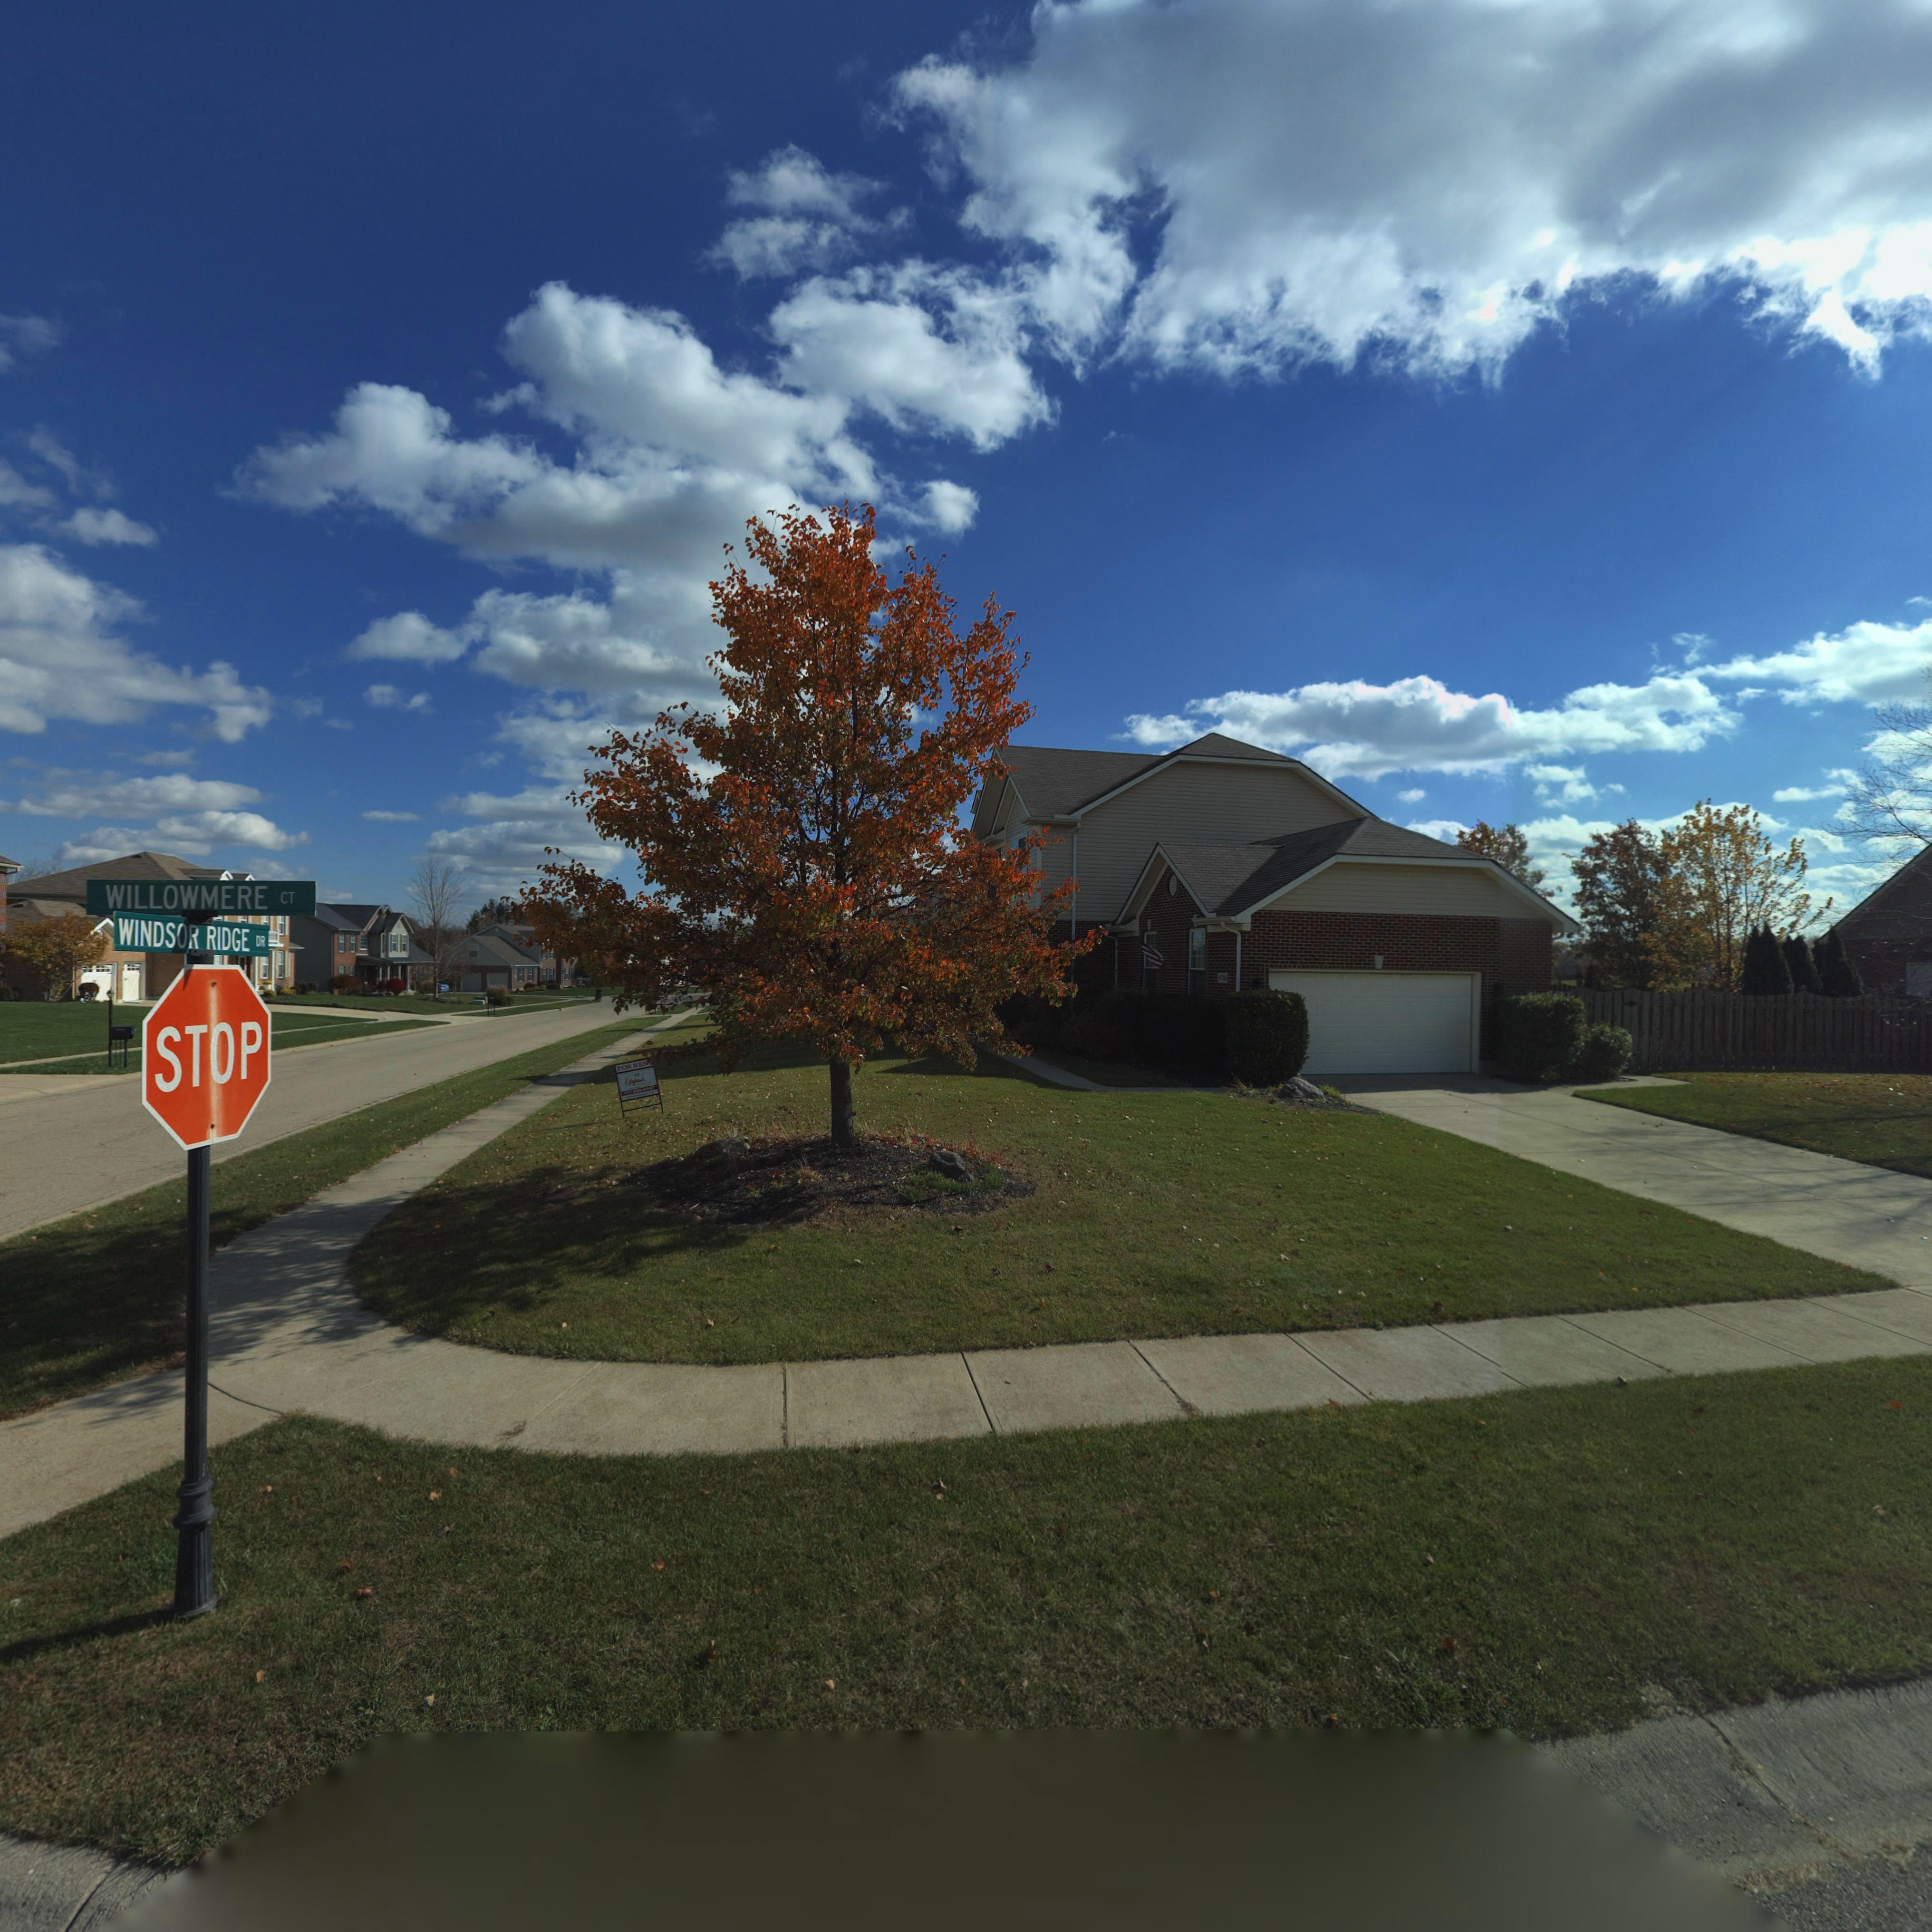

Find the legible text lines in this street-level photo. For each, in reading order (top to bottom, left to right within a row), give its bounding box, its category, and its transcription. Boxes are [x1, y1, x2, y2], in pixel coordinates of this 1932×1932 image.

[104, 883, 296, 911] StreetName: WILLOWMERE CT
[117, 916, 267, 953] StreetName: WINDSOR RIDGE DR